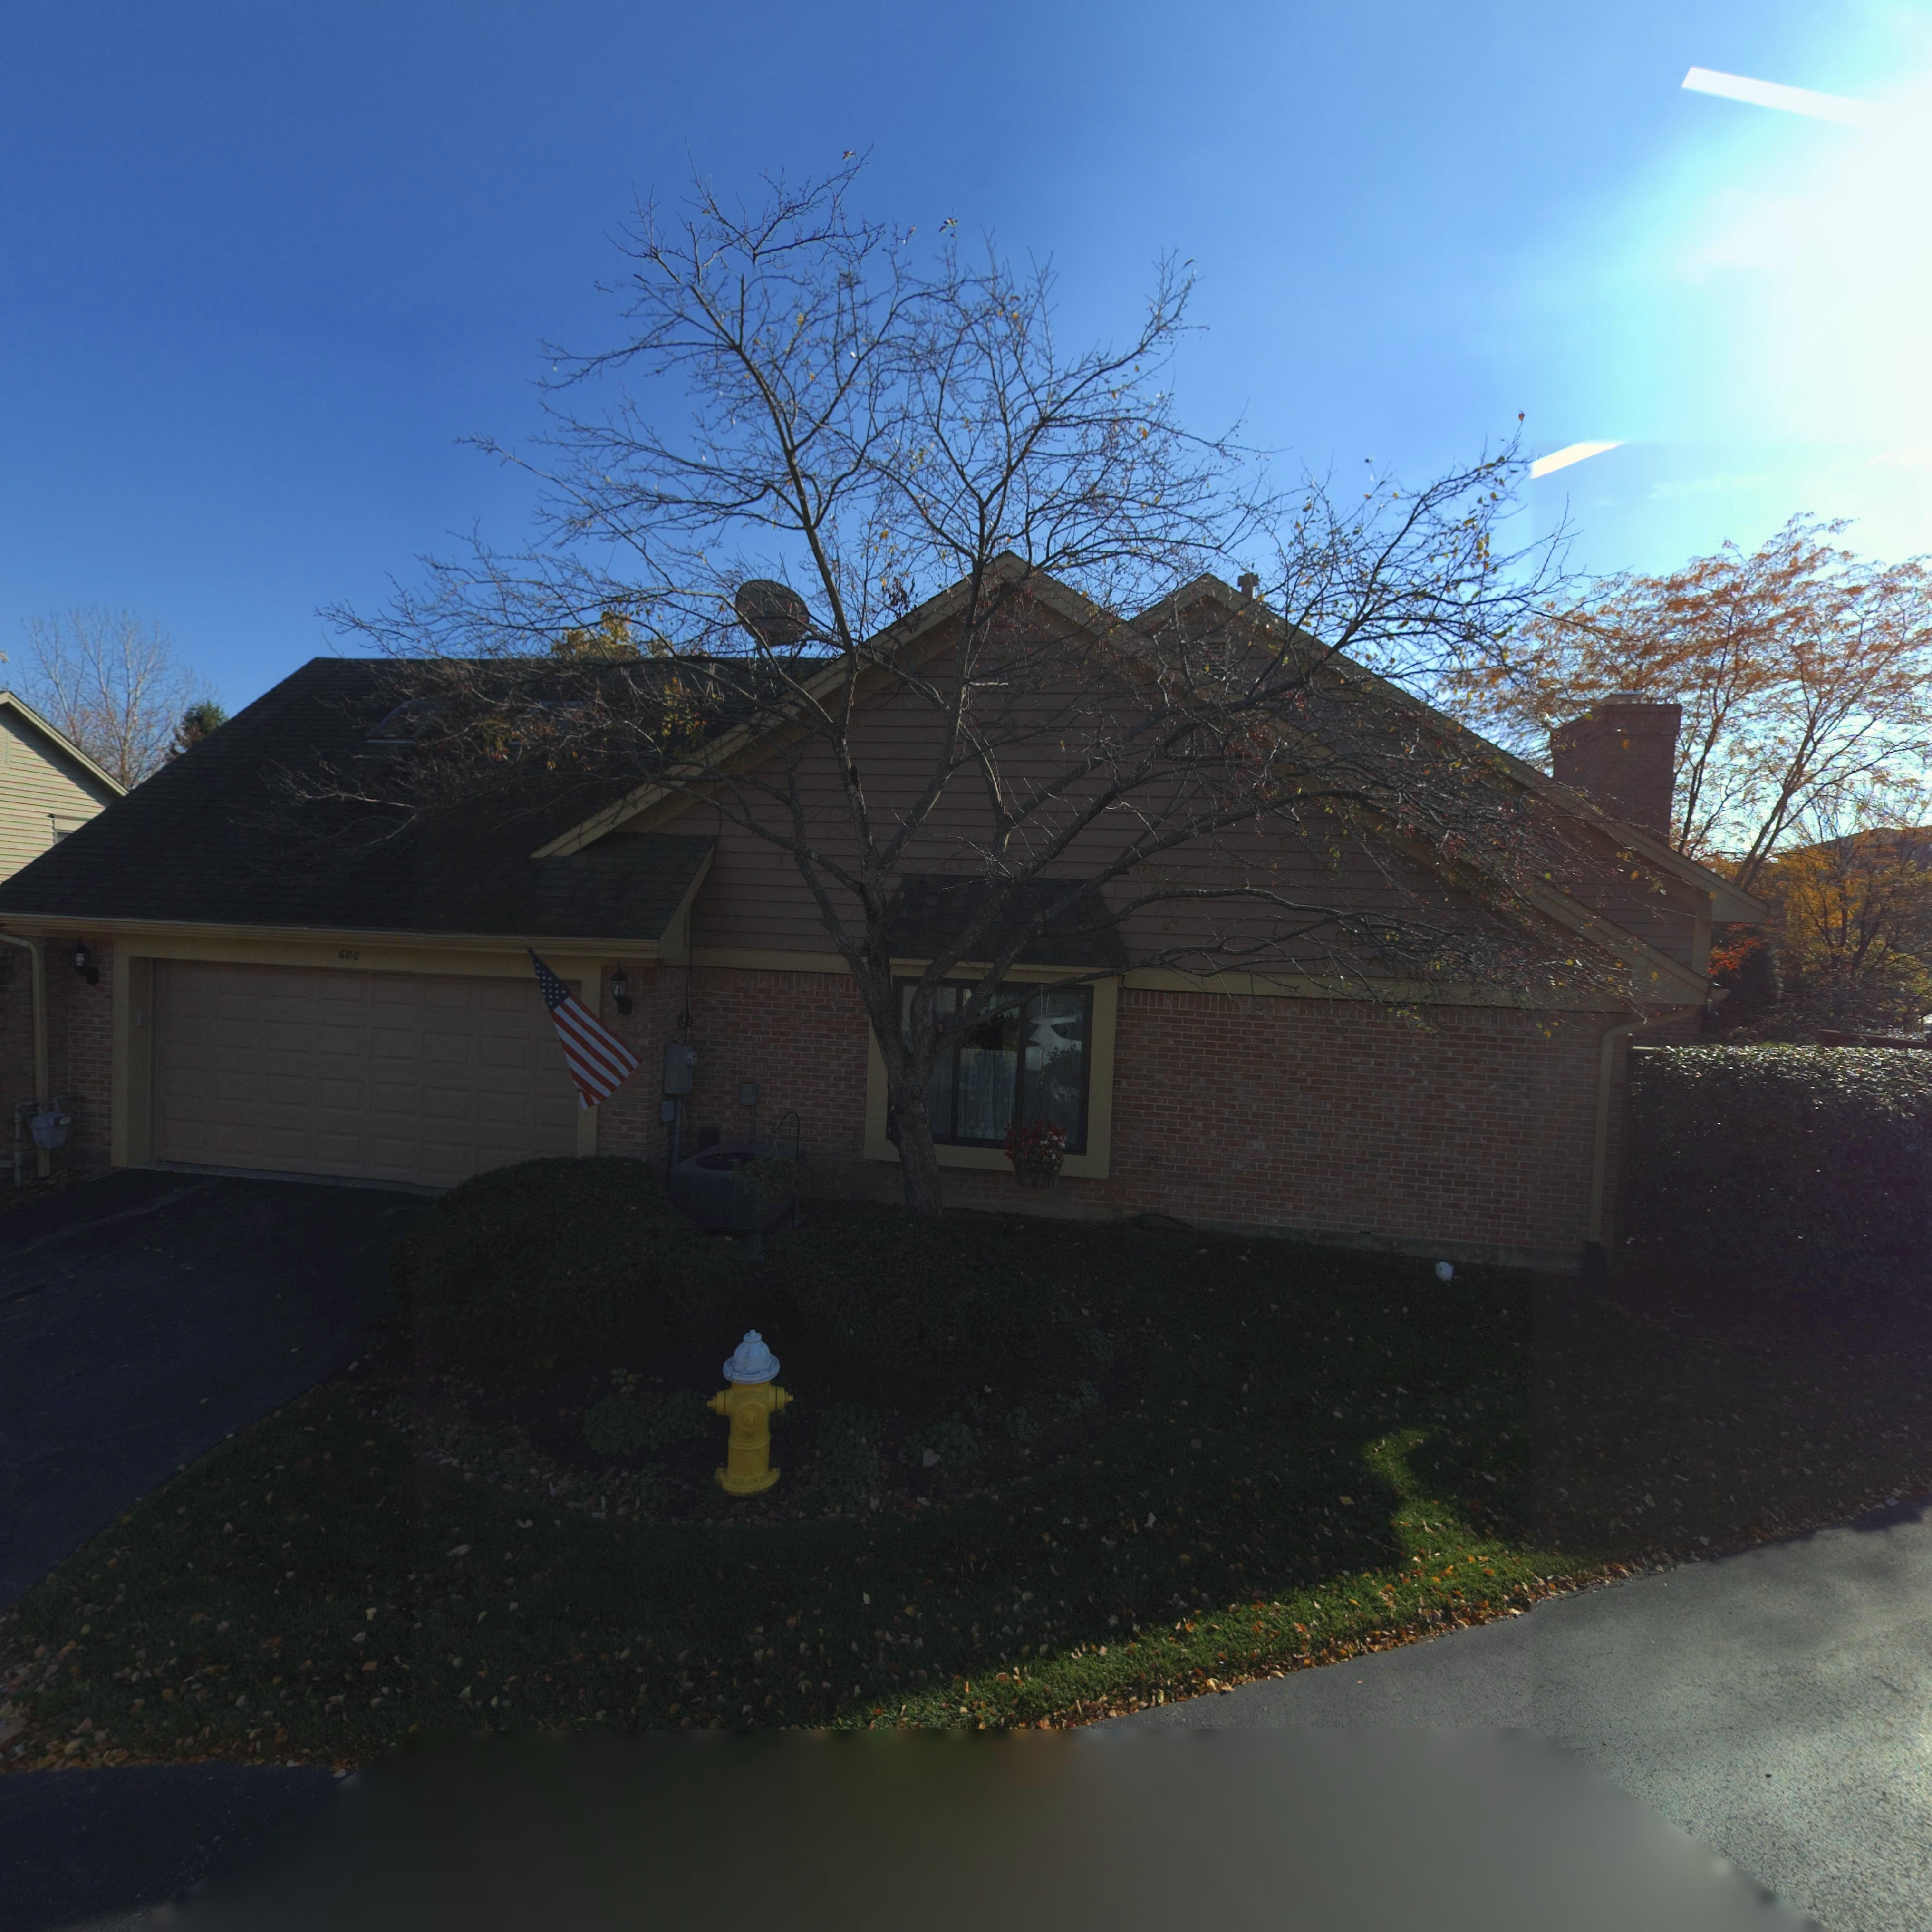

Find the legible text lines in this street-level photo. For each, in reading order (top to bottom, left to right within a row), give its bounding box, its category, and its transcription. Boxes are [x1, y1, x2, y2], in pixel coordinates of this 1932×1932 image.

[337, 949, 361, 961] StreetNumber: 600